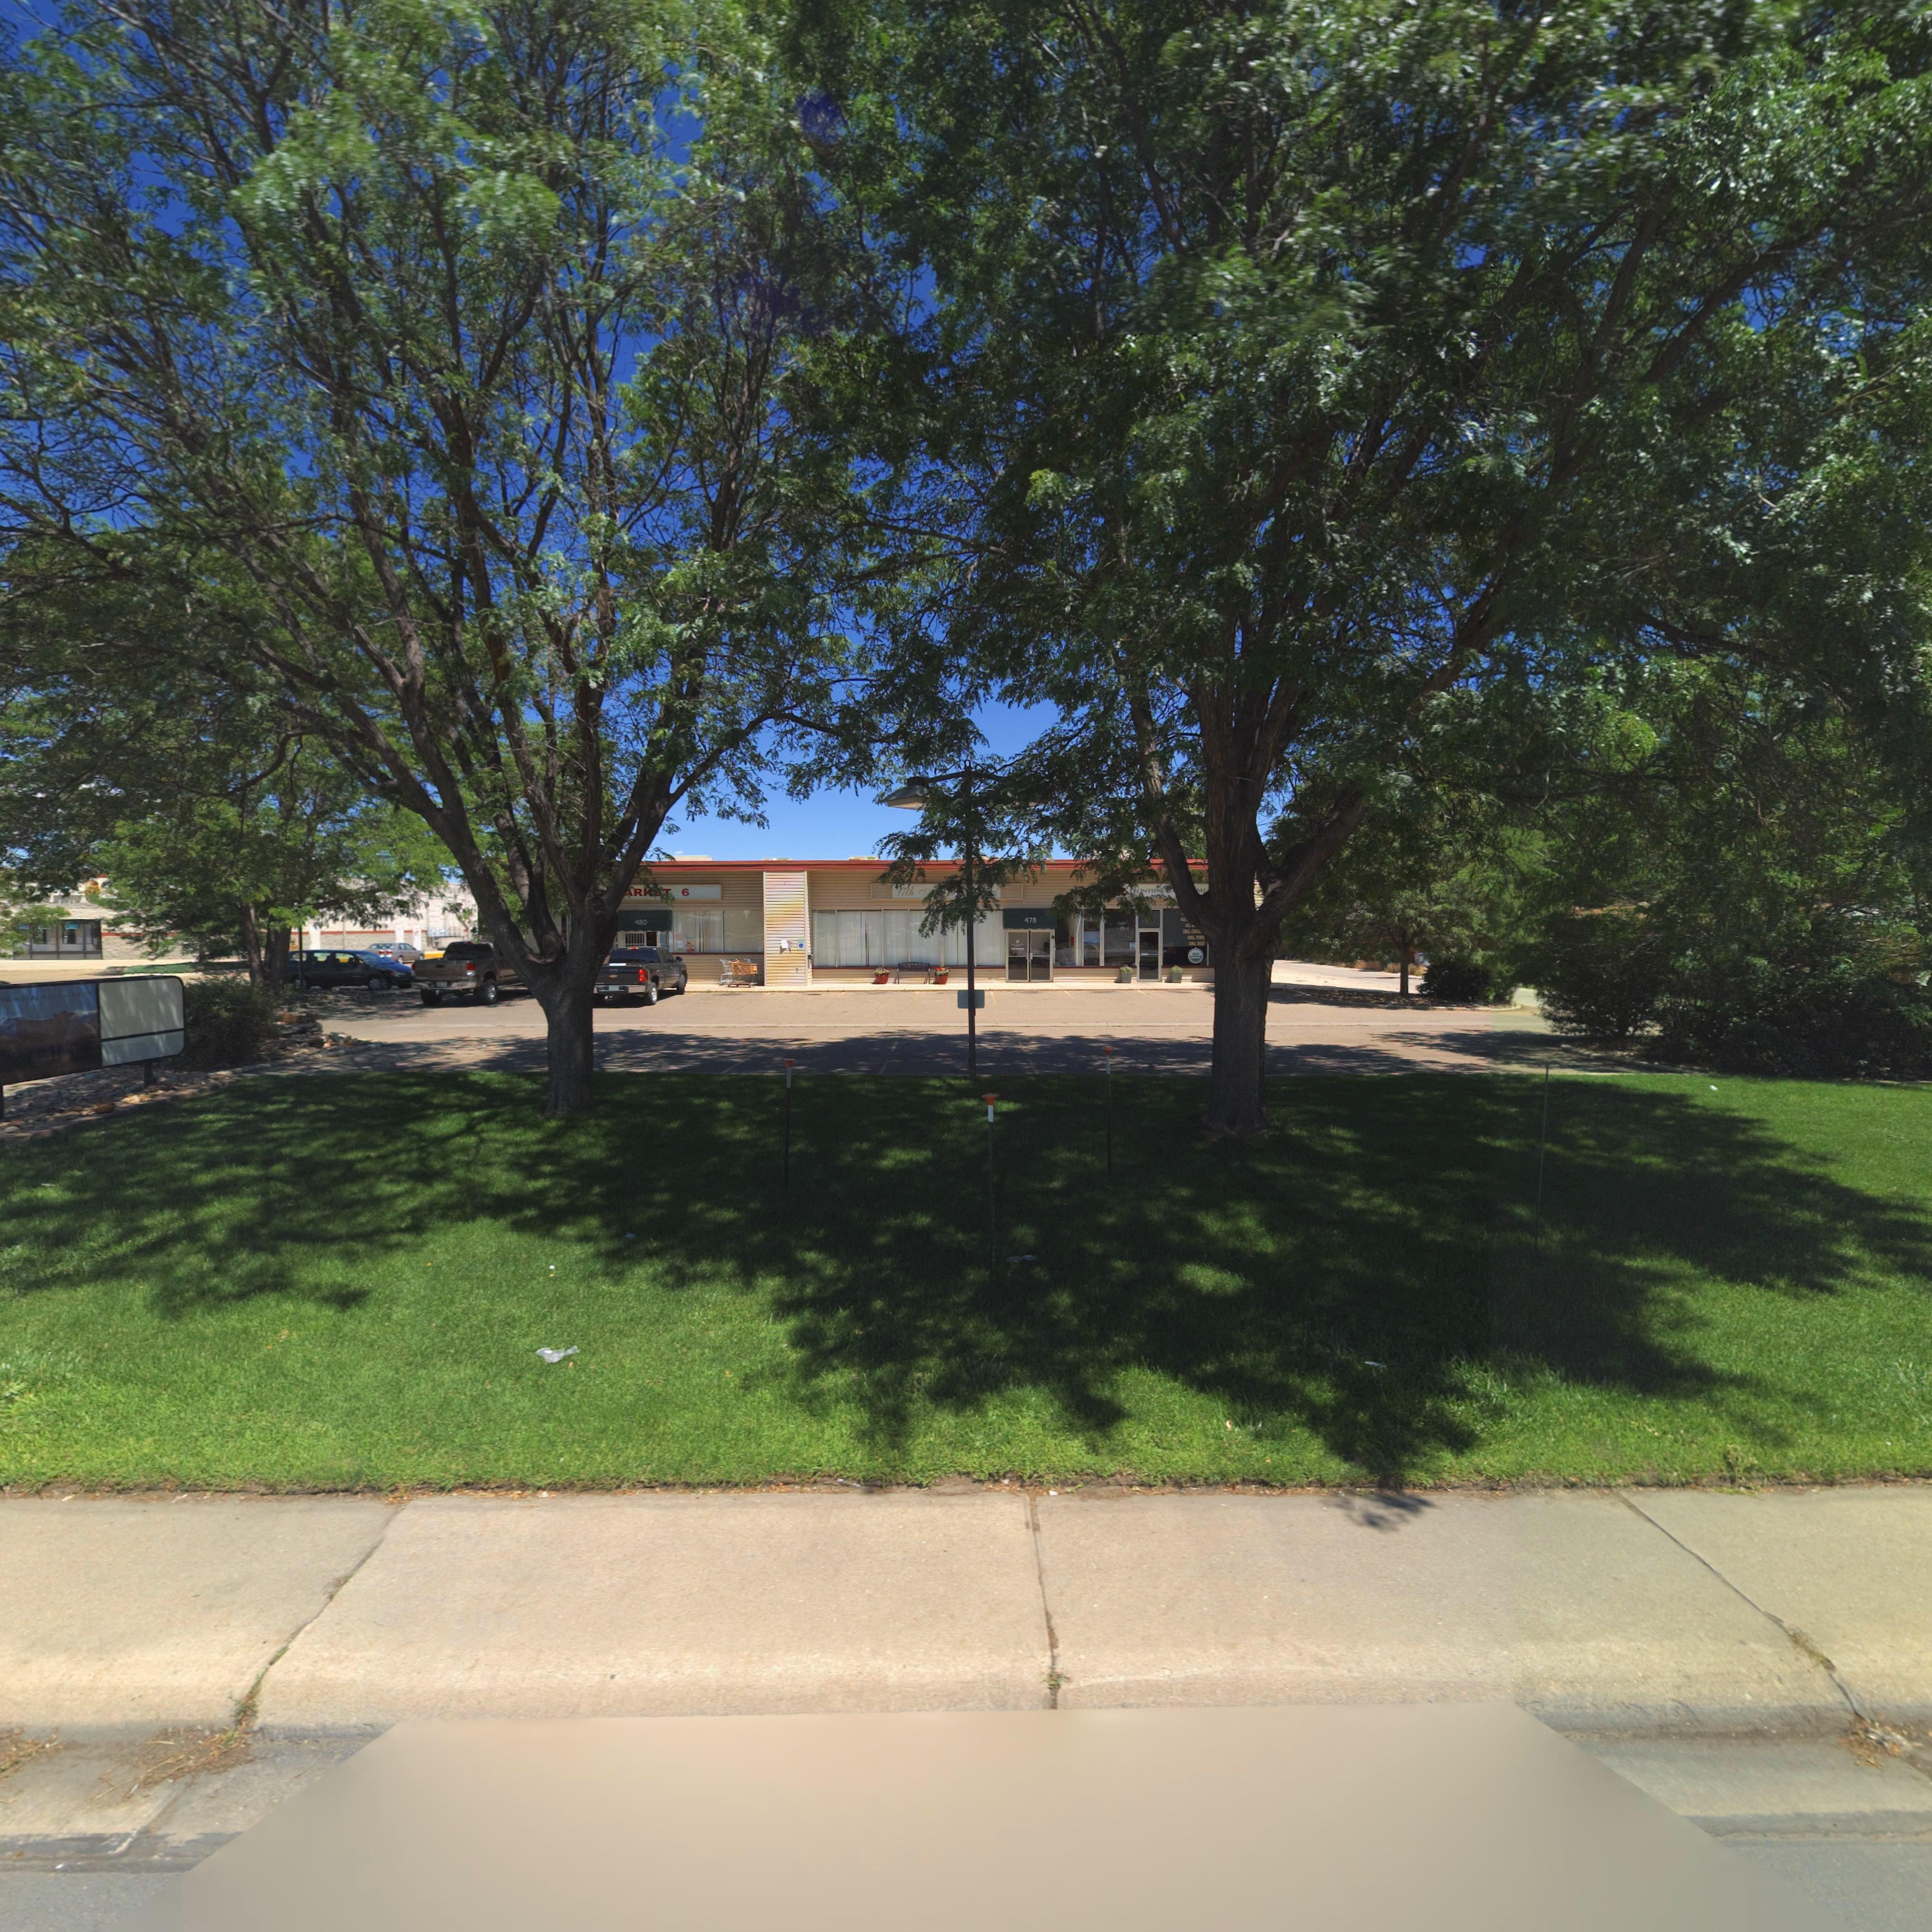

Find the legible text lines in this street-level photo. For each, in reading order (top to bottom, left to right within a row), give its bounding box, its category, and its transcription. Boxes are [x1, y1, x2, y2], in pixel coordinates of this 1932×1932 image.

[633, 888, 690, 897] BusinessName: R*** 6
[896, 885, 915, 897] BusinessName: 17th
[1129, 887, 1166, 893] BusinessName: FRONTIERE
[634, 919, 648, 926] StreetNumber: 480
[1024, 917, 1036, 923] StreetNumber: 478